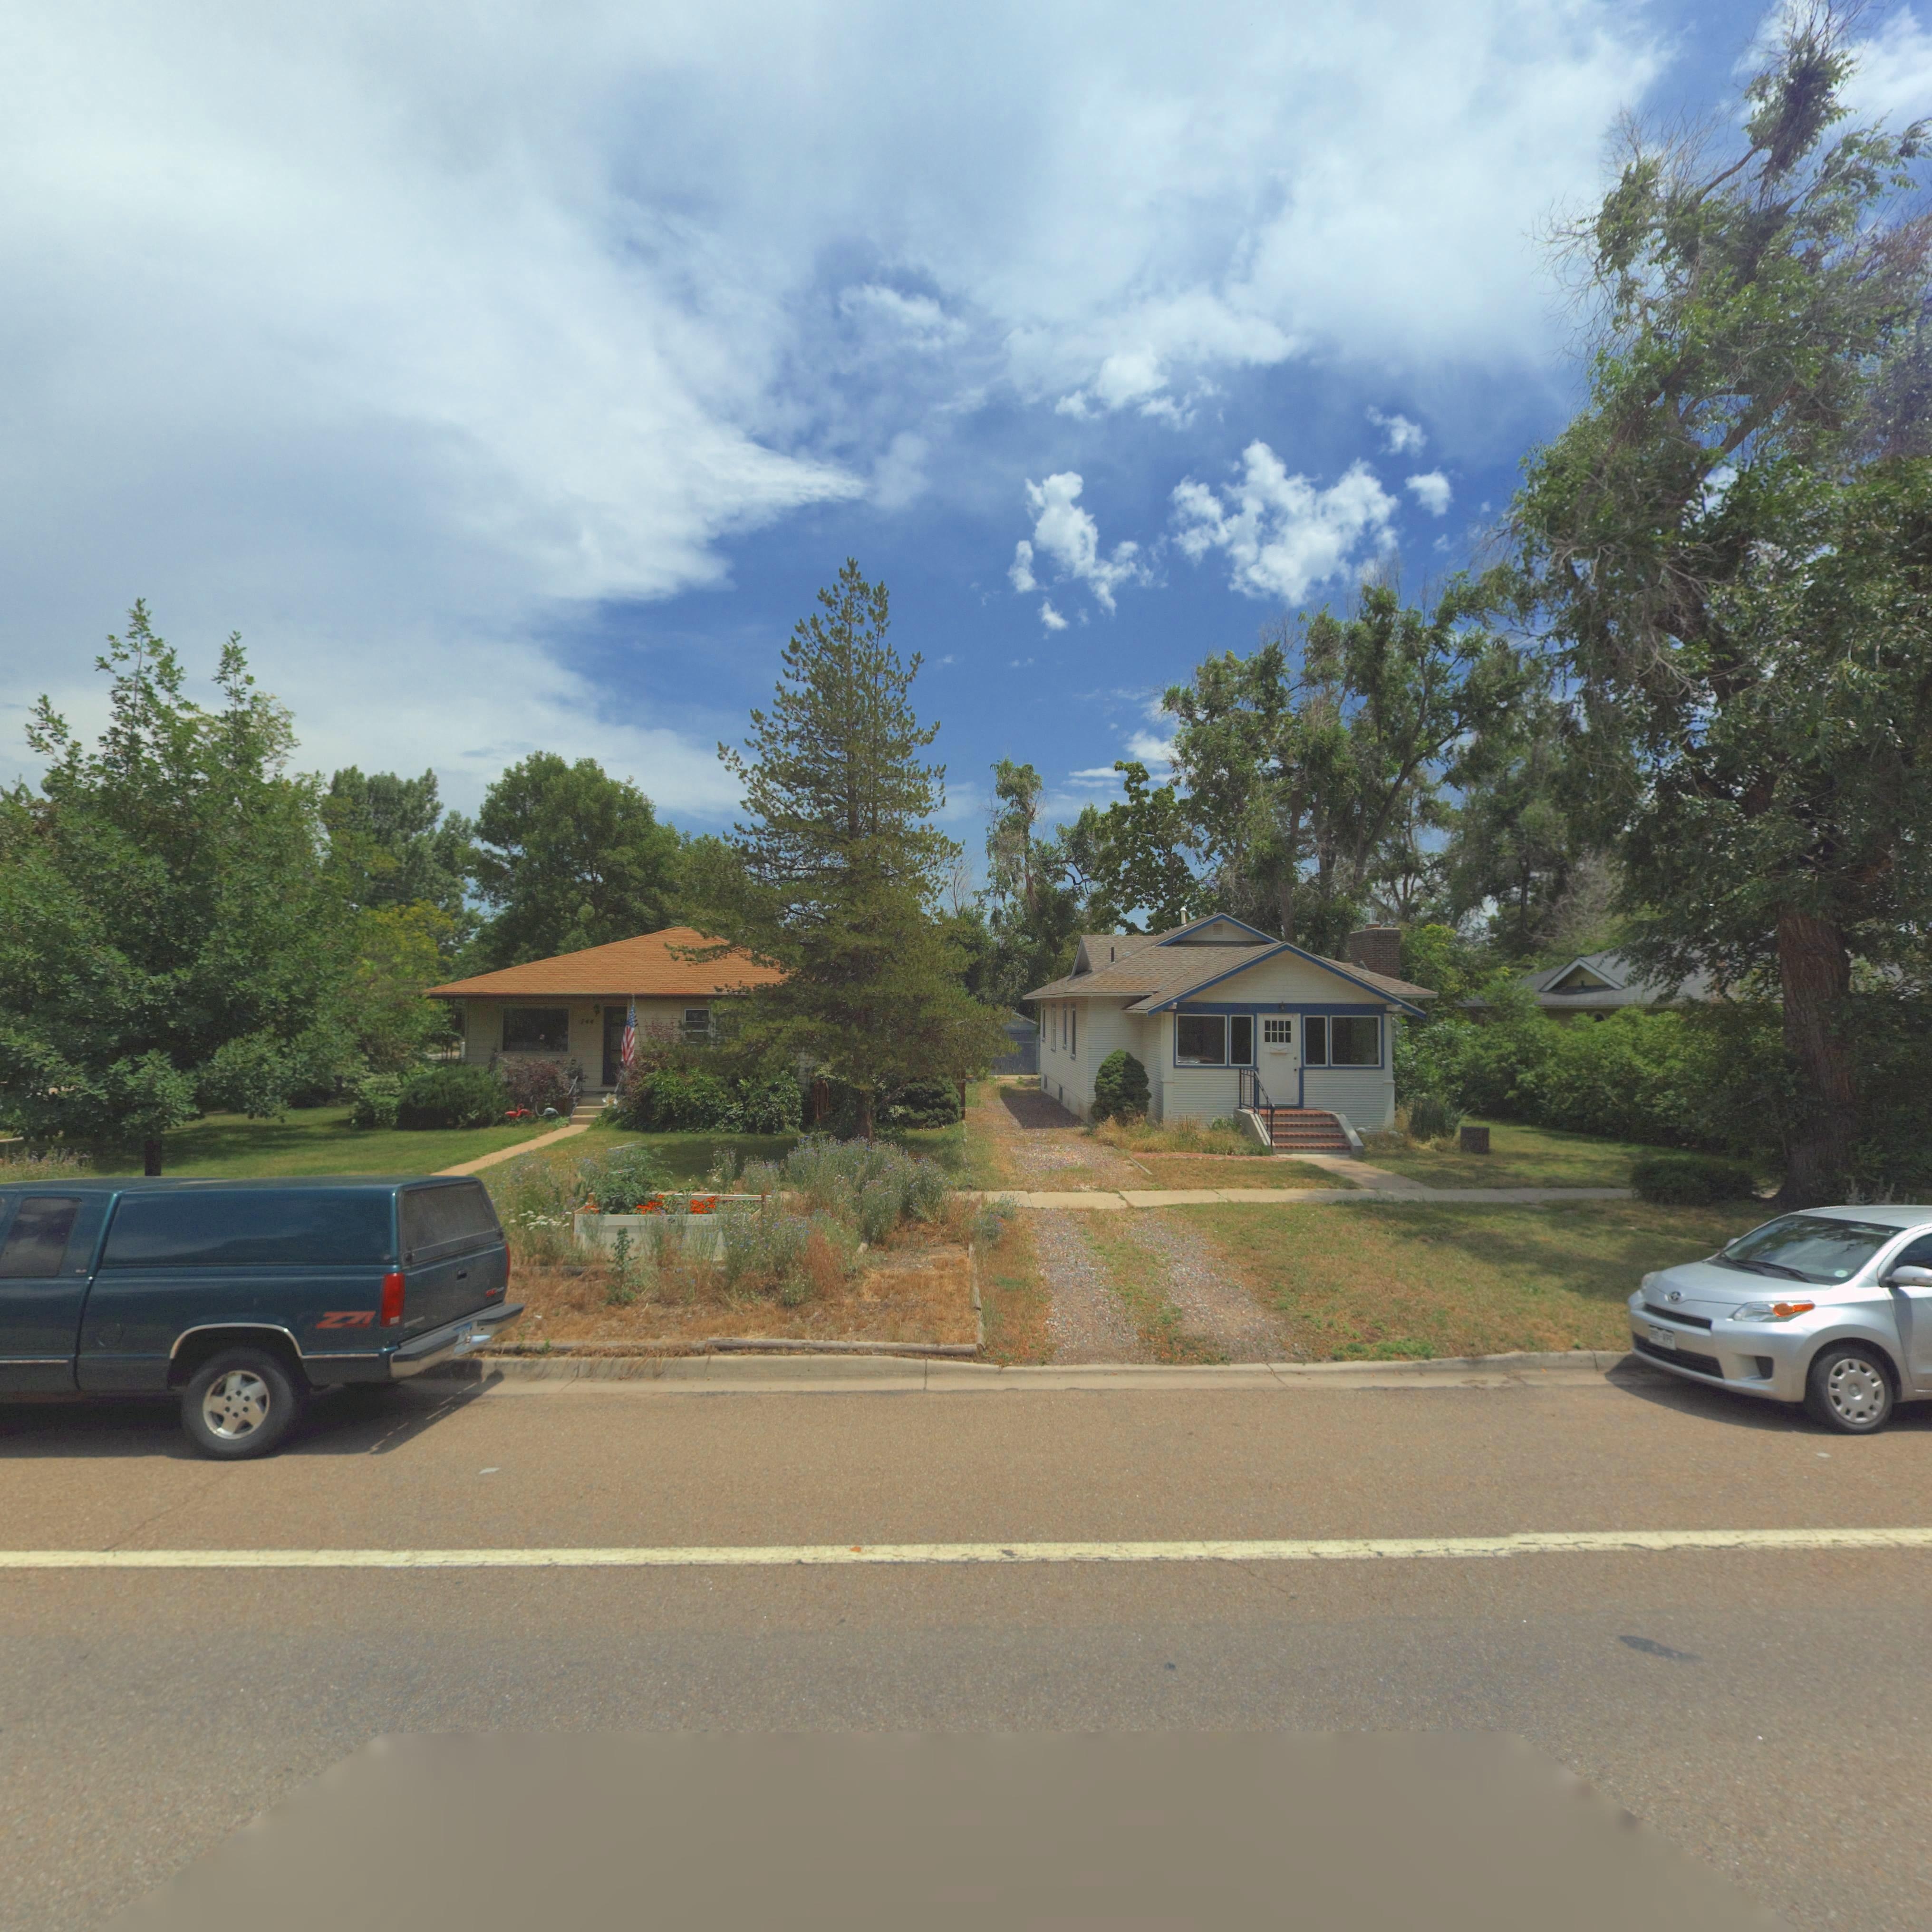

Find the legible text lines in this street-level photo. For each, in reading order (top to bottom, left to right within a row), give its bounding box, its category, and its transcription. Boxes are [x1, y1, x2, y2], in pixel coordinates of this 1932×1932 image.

[580, 1017, 594, 1025] StreetNumber: 744